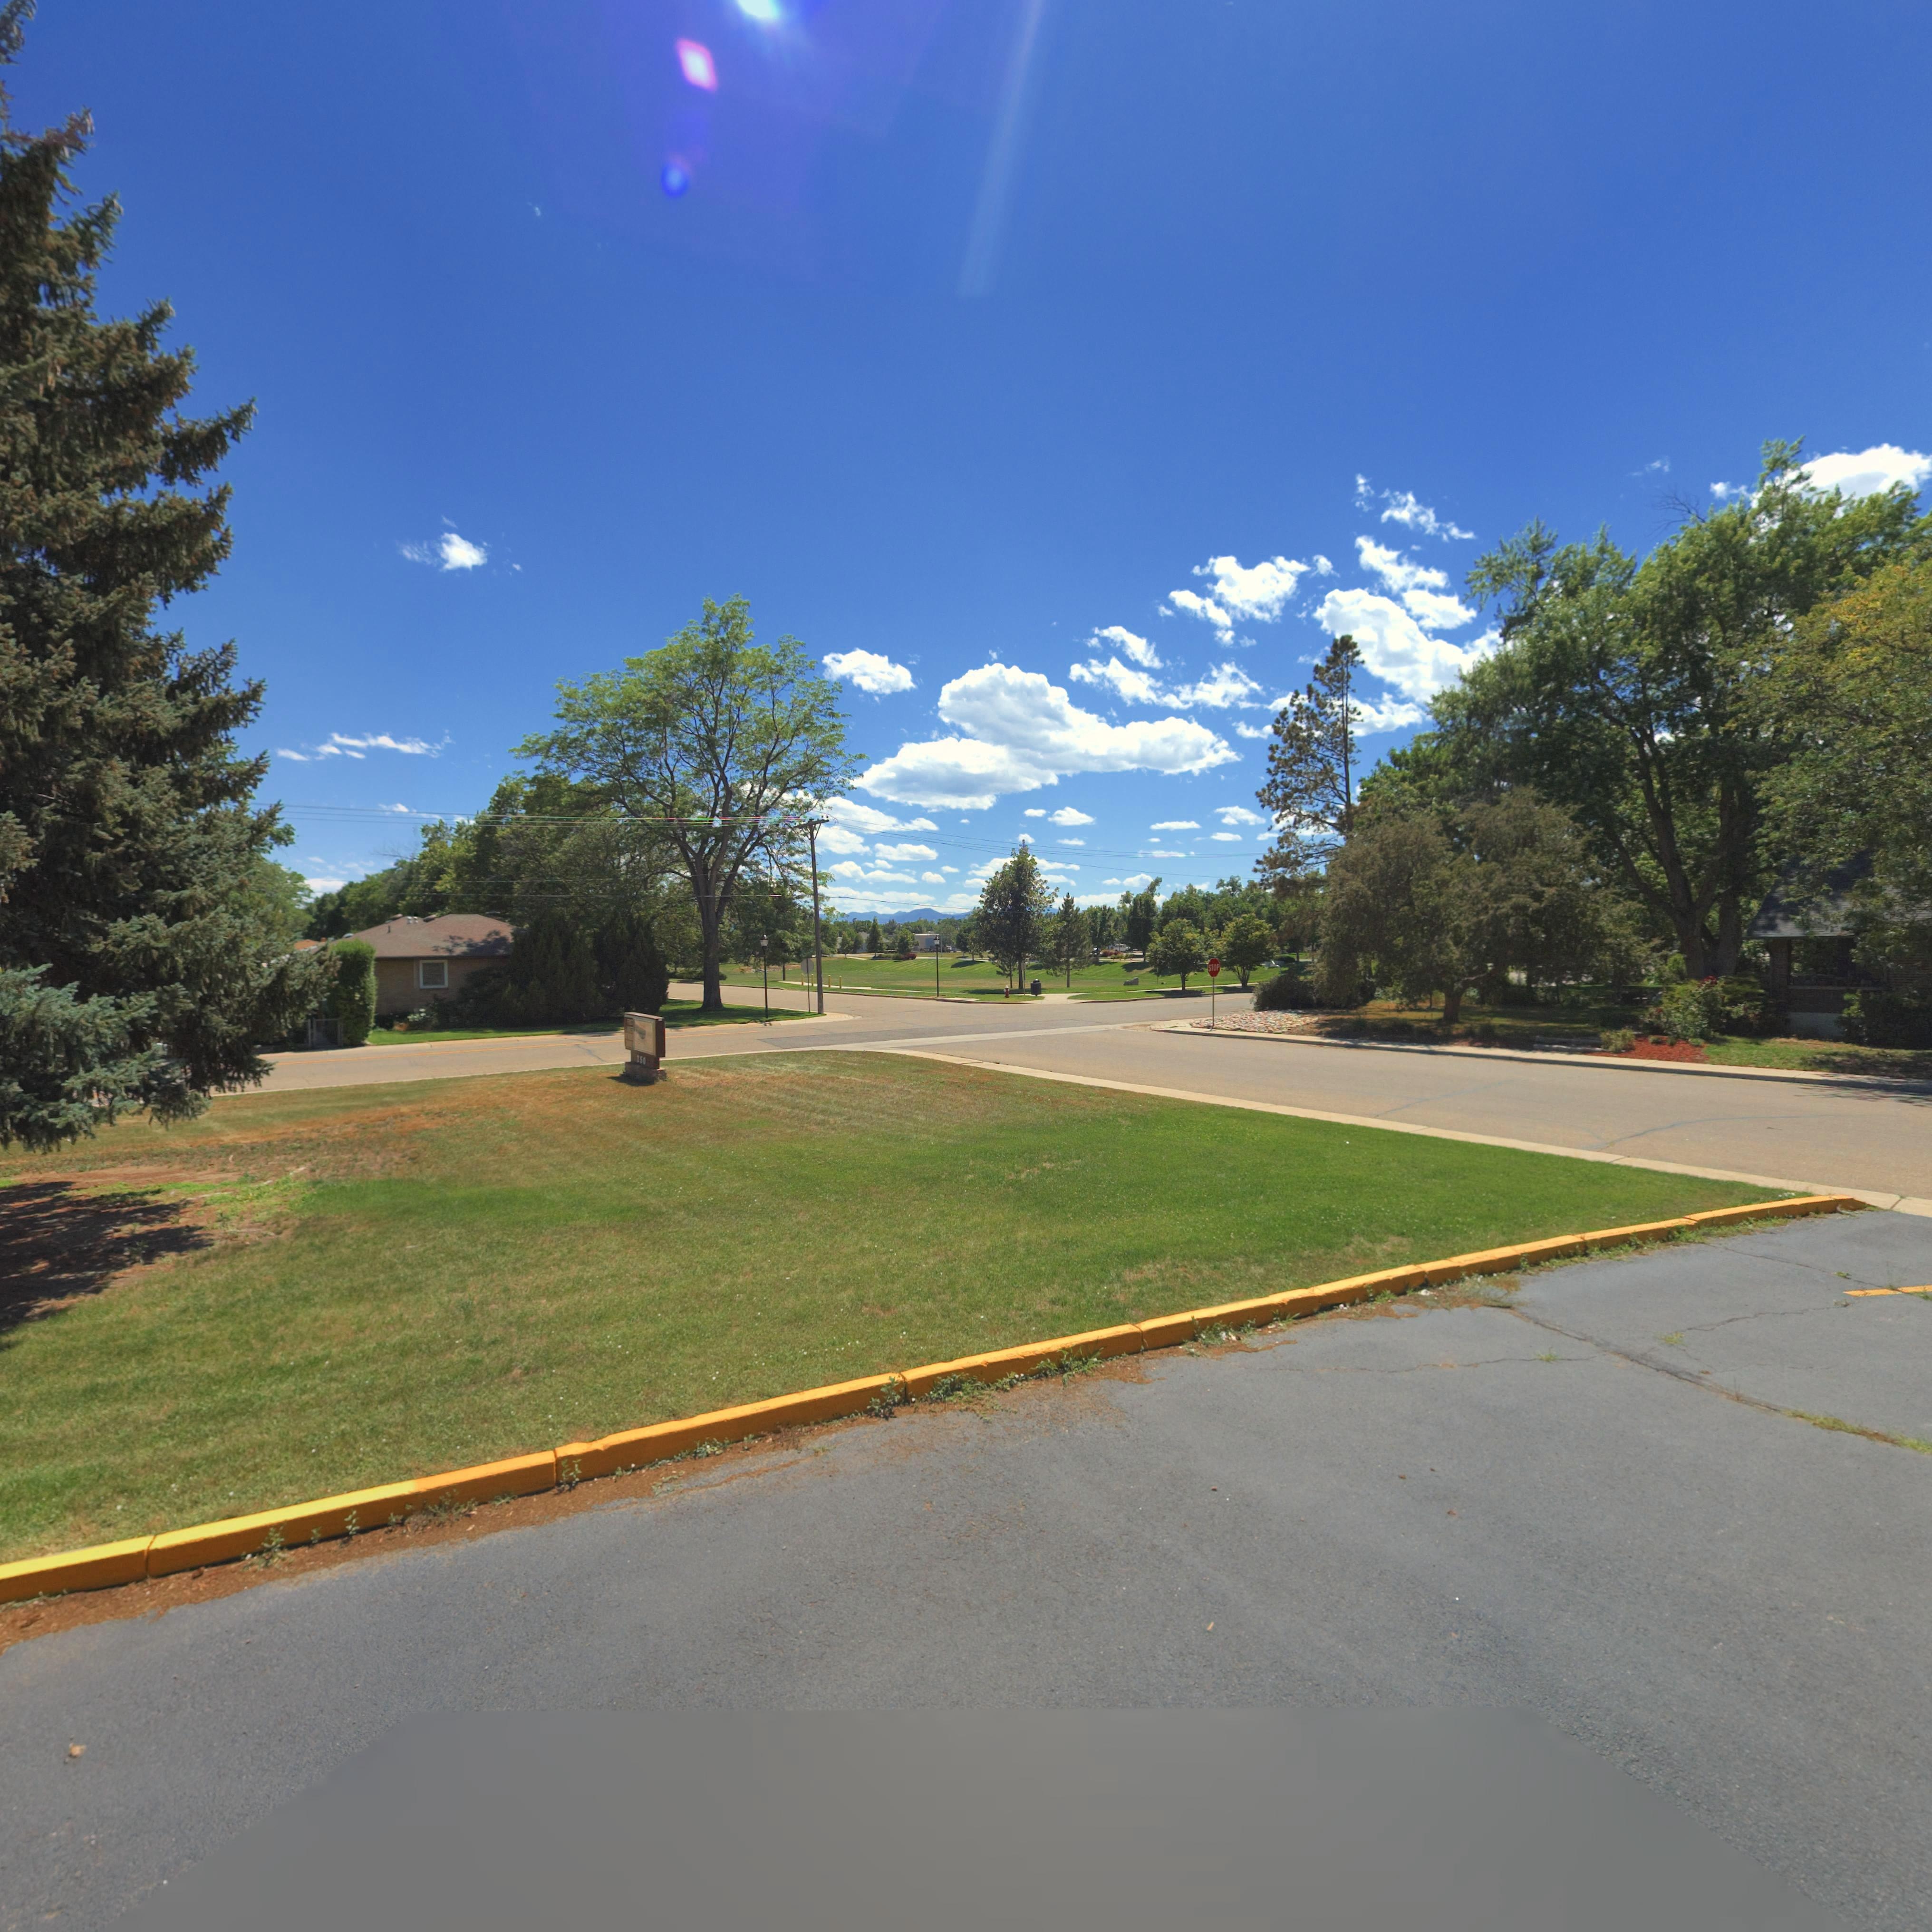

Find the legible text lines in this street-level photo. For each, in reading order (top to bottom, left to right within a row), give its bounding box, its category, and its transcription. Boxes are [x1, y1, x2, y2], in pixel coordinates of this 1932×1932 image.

[636, 1055, 646, 1064] StreetNumber: *50